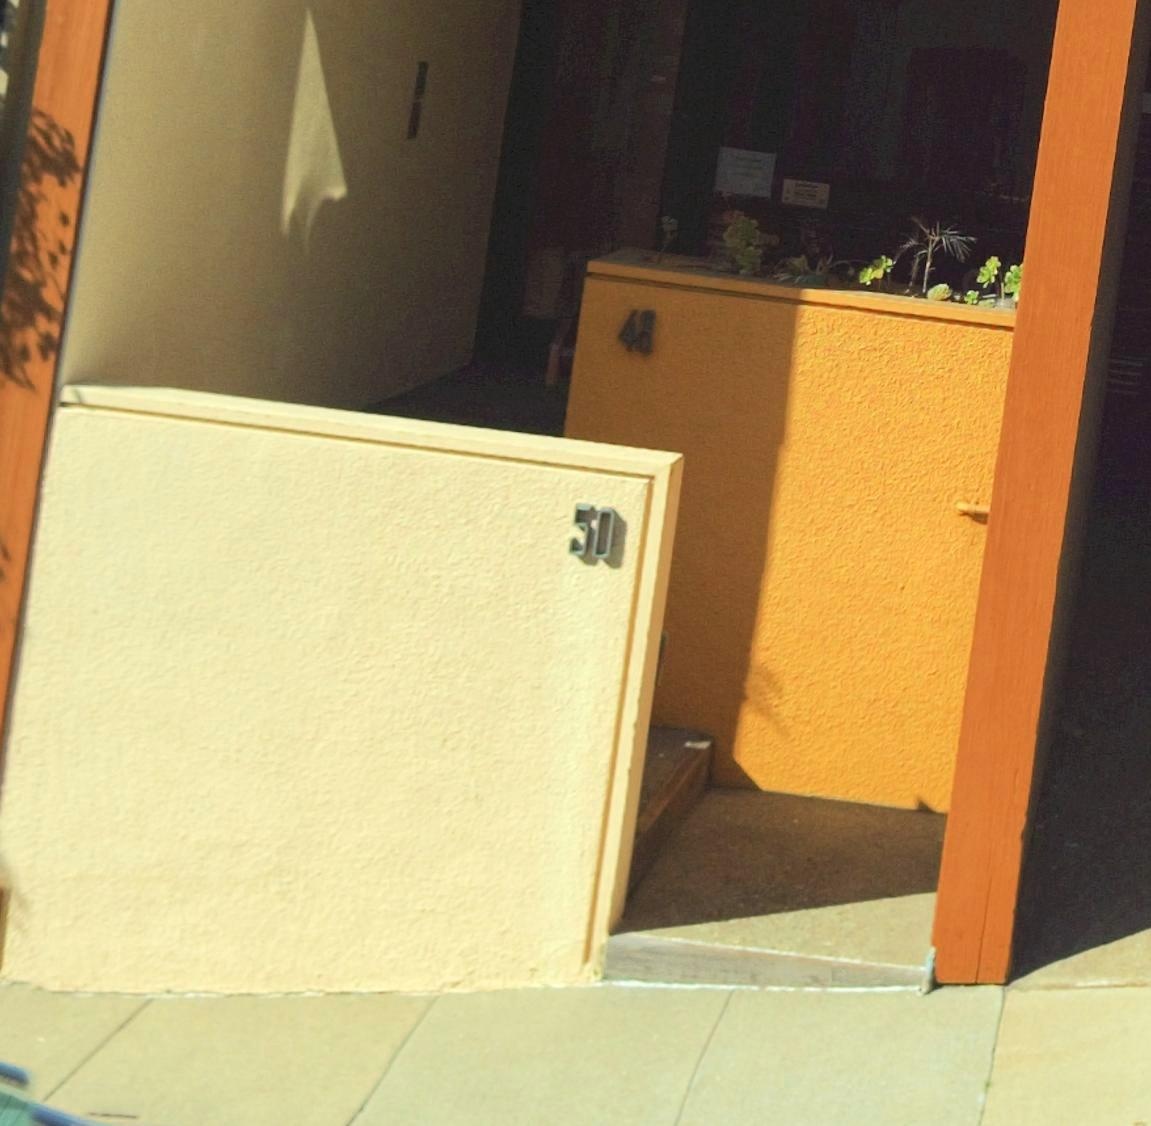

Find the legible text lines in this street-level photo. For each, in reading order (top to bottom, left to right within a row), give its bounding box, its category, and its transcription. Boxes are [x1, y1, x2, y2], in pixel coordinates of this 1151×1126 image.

[611, 307, 656, 356] StreetNumber: 48
[565, 501, 617, 562] StreetNumber: 50